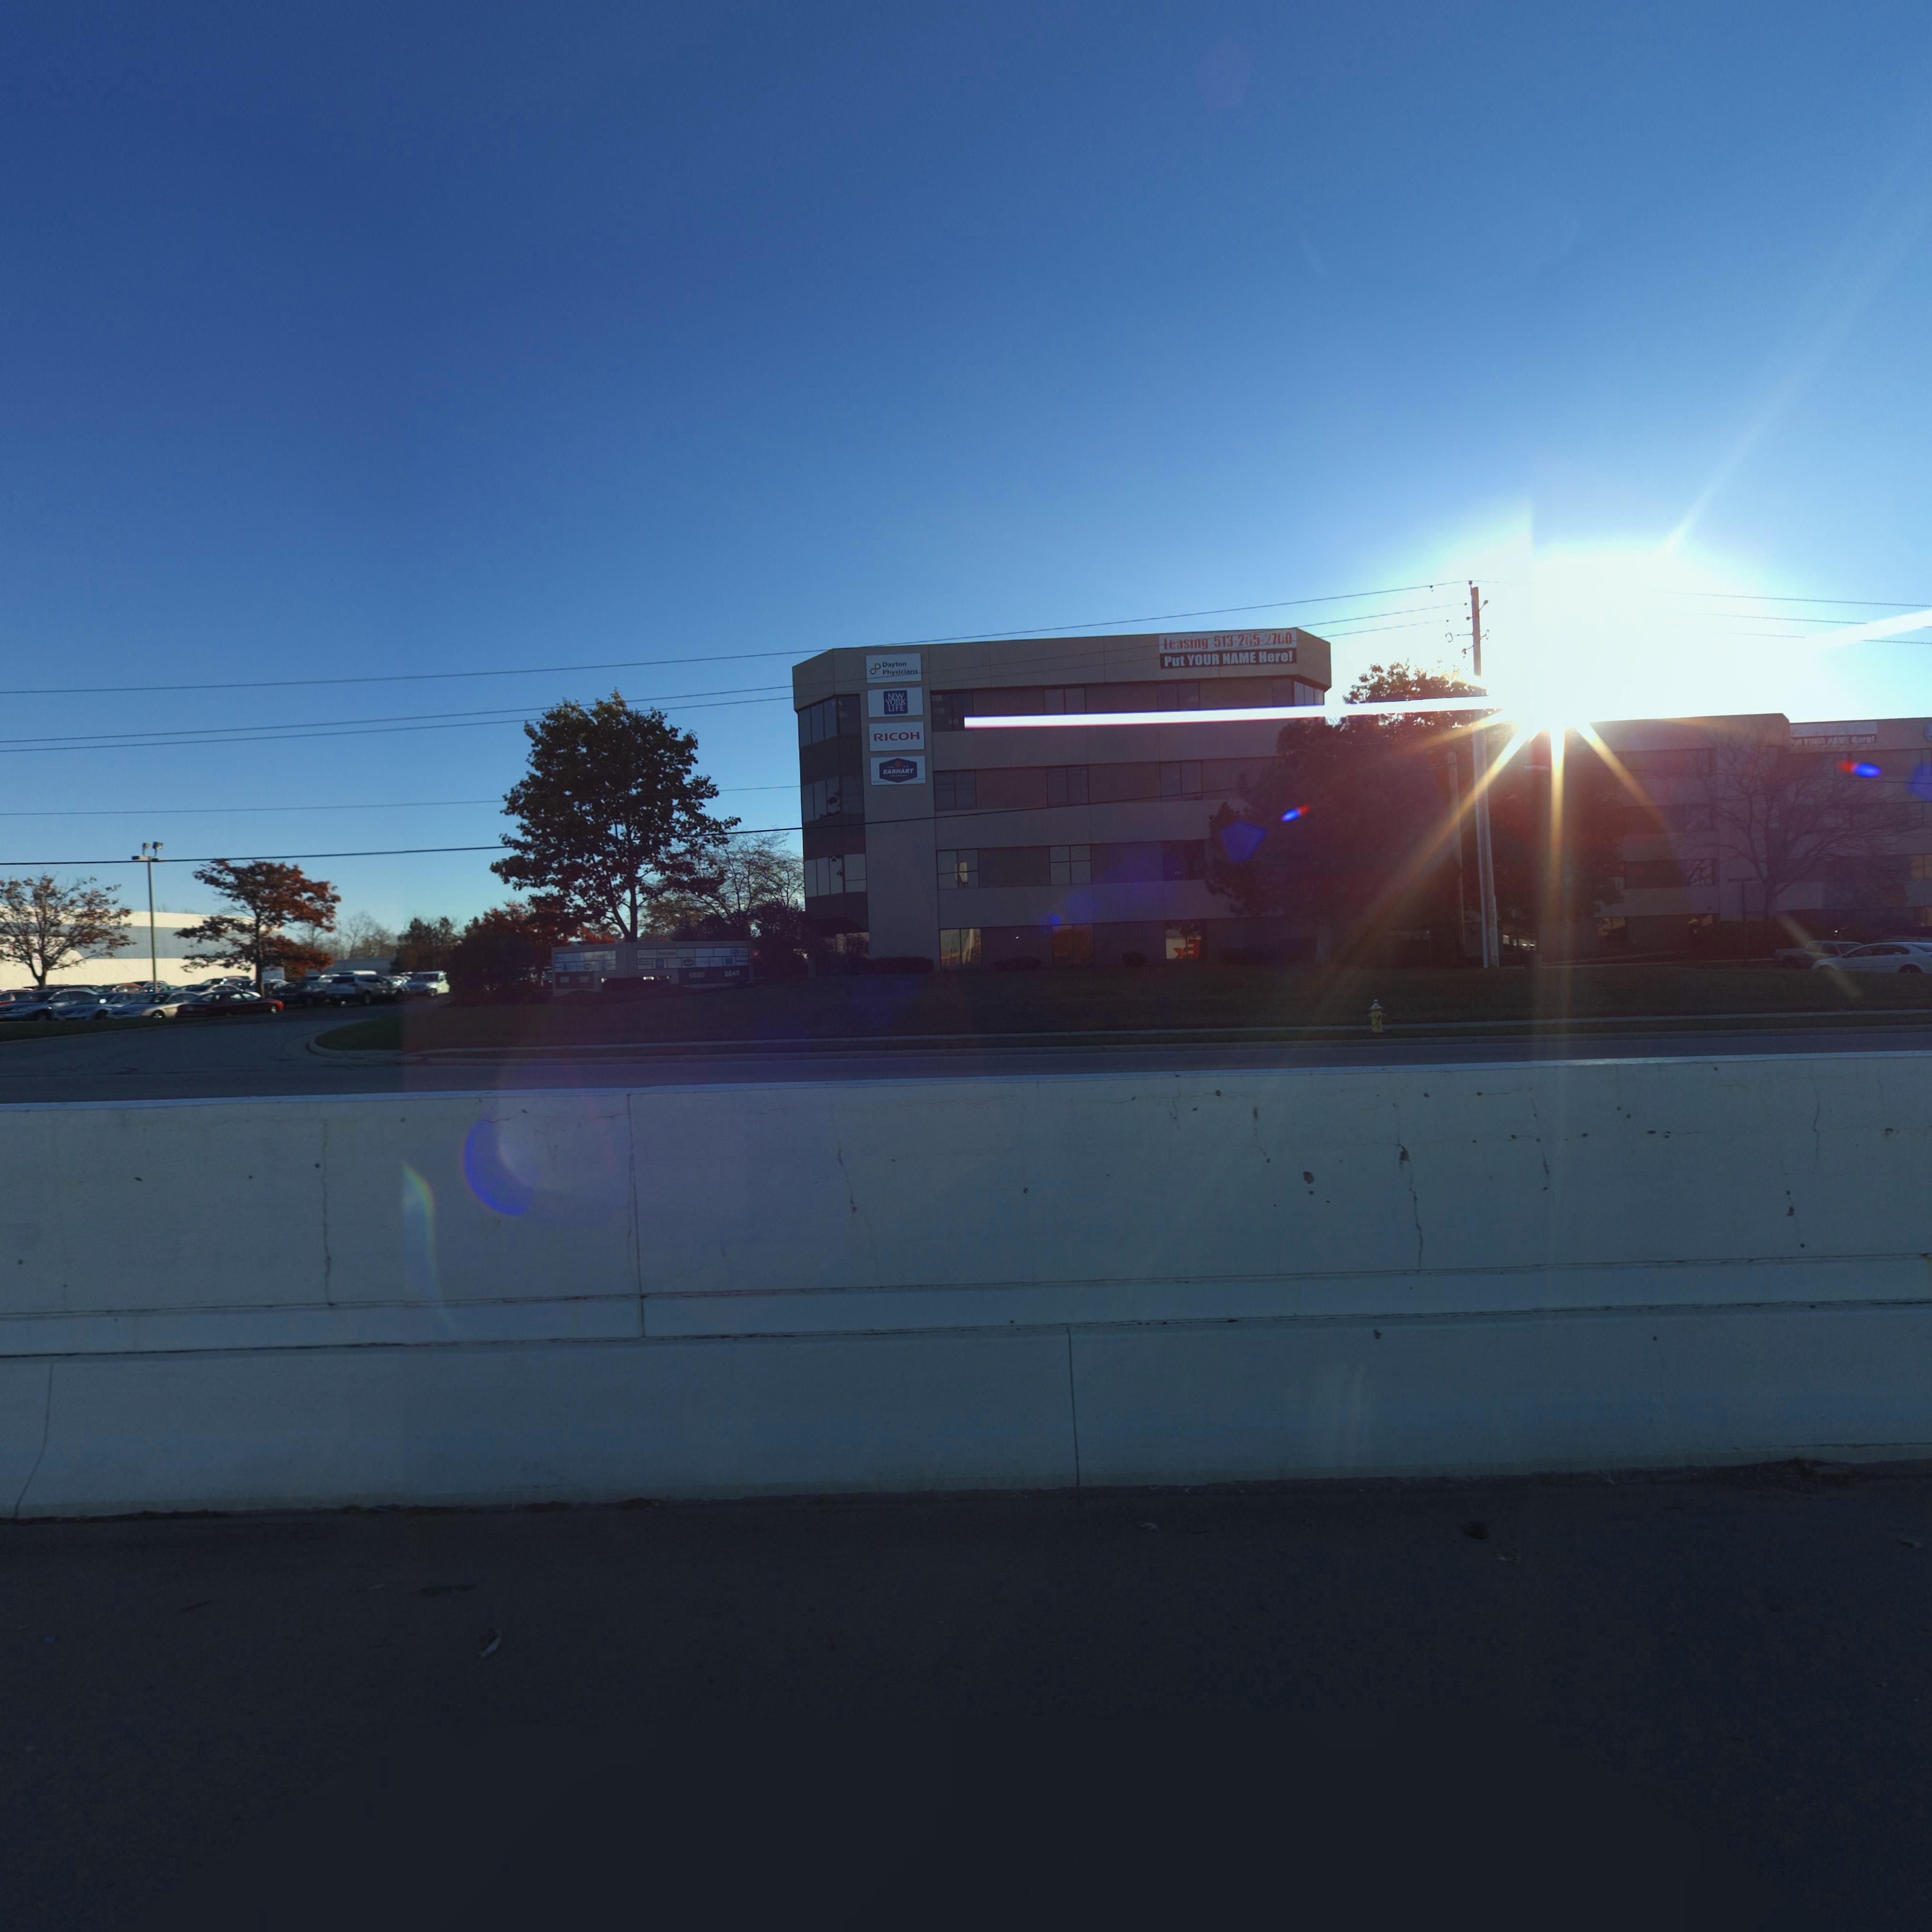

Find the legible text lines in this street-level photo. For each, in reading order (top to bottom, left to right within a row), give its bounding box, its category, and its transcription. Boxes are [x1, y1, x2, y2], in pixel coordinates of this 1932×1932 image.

[1163, 632, 1294, 651] None: Leasing 513-265-2700
[1162, 648, 1294, 668] None: Put YOUR NAME Here!
[881, 660, 908, 667] None: Dayton
[881, 668, 918, 676] None: Physicians
[886, 692, 904, 699] None: NEW
[884, 696, 907, 706] None: YORK
[887, 703, 906, 713] None: LIFE
[873, 731, 920, 742] None: RICOH
[1803, 734, 1876, 746] None: YOUR NAME Here
[881, 768, 913, 775] None: EARHART
[688, 971, 706, 980] StreetNumber: 6680
[724, 969, 741, 978] StreetNumber: 664*